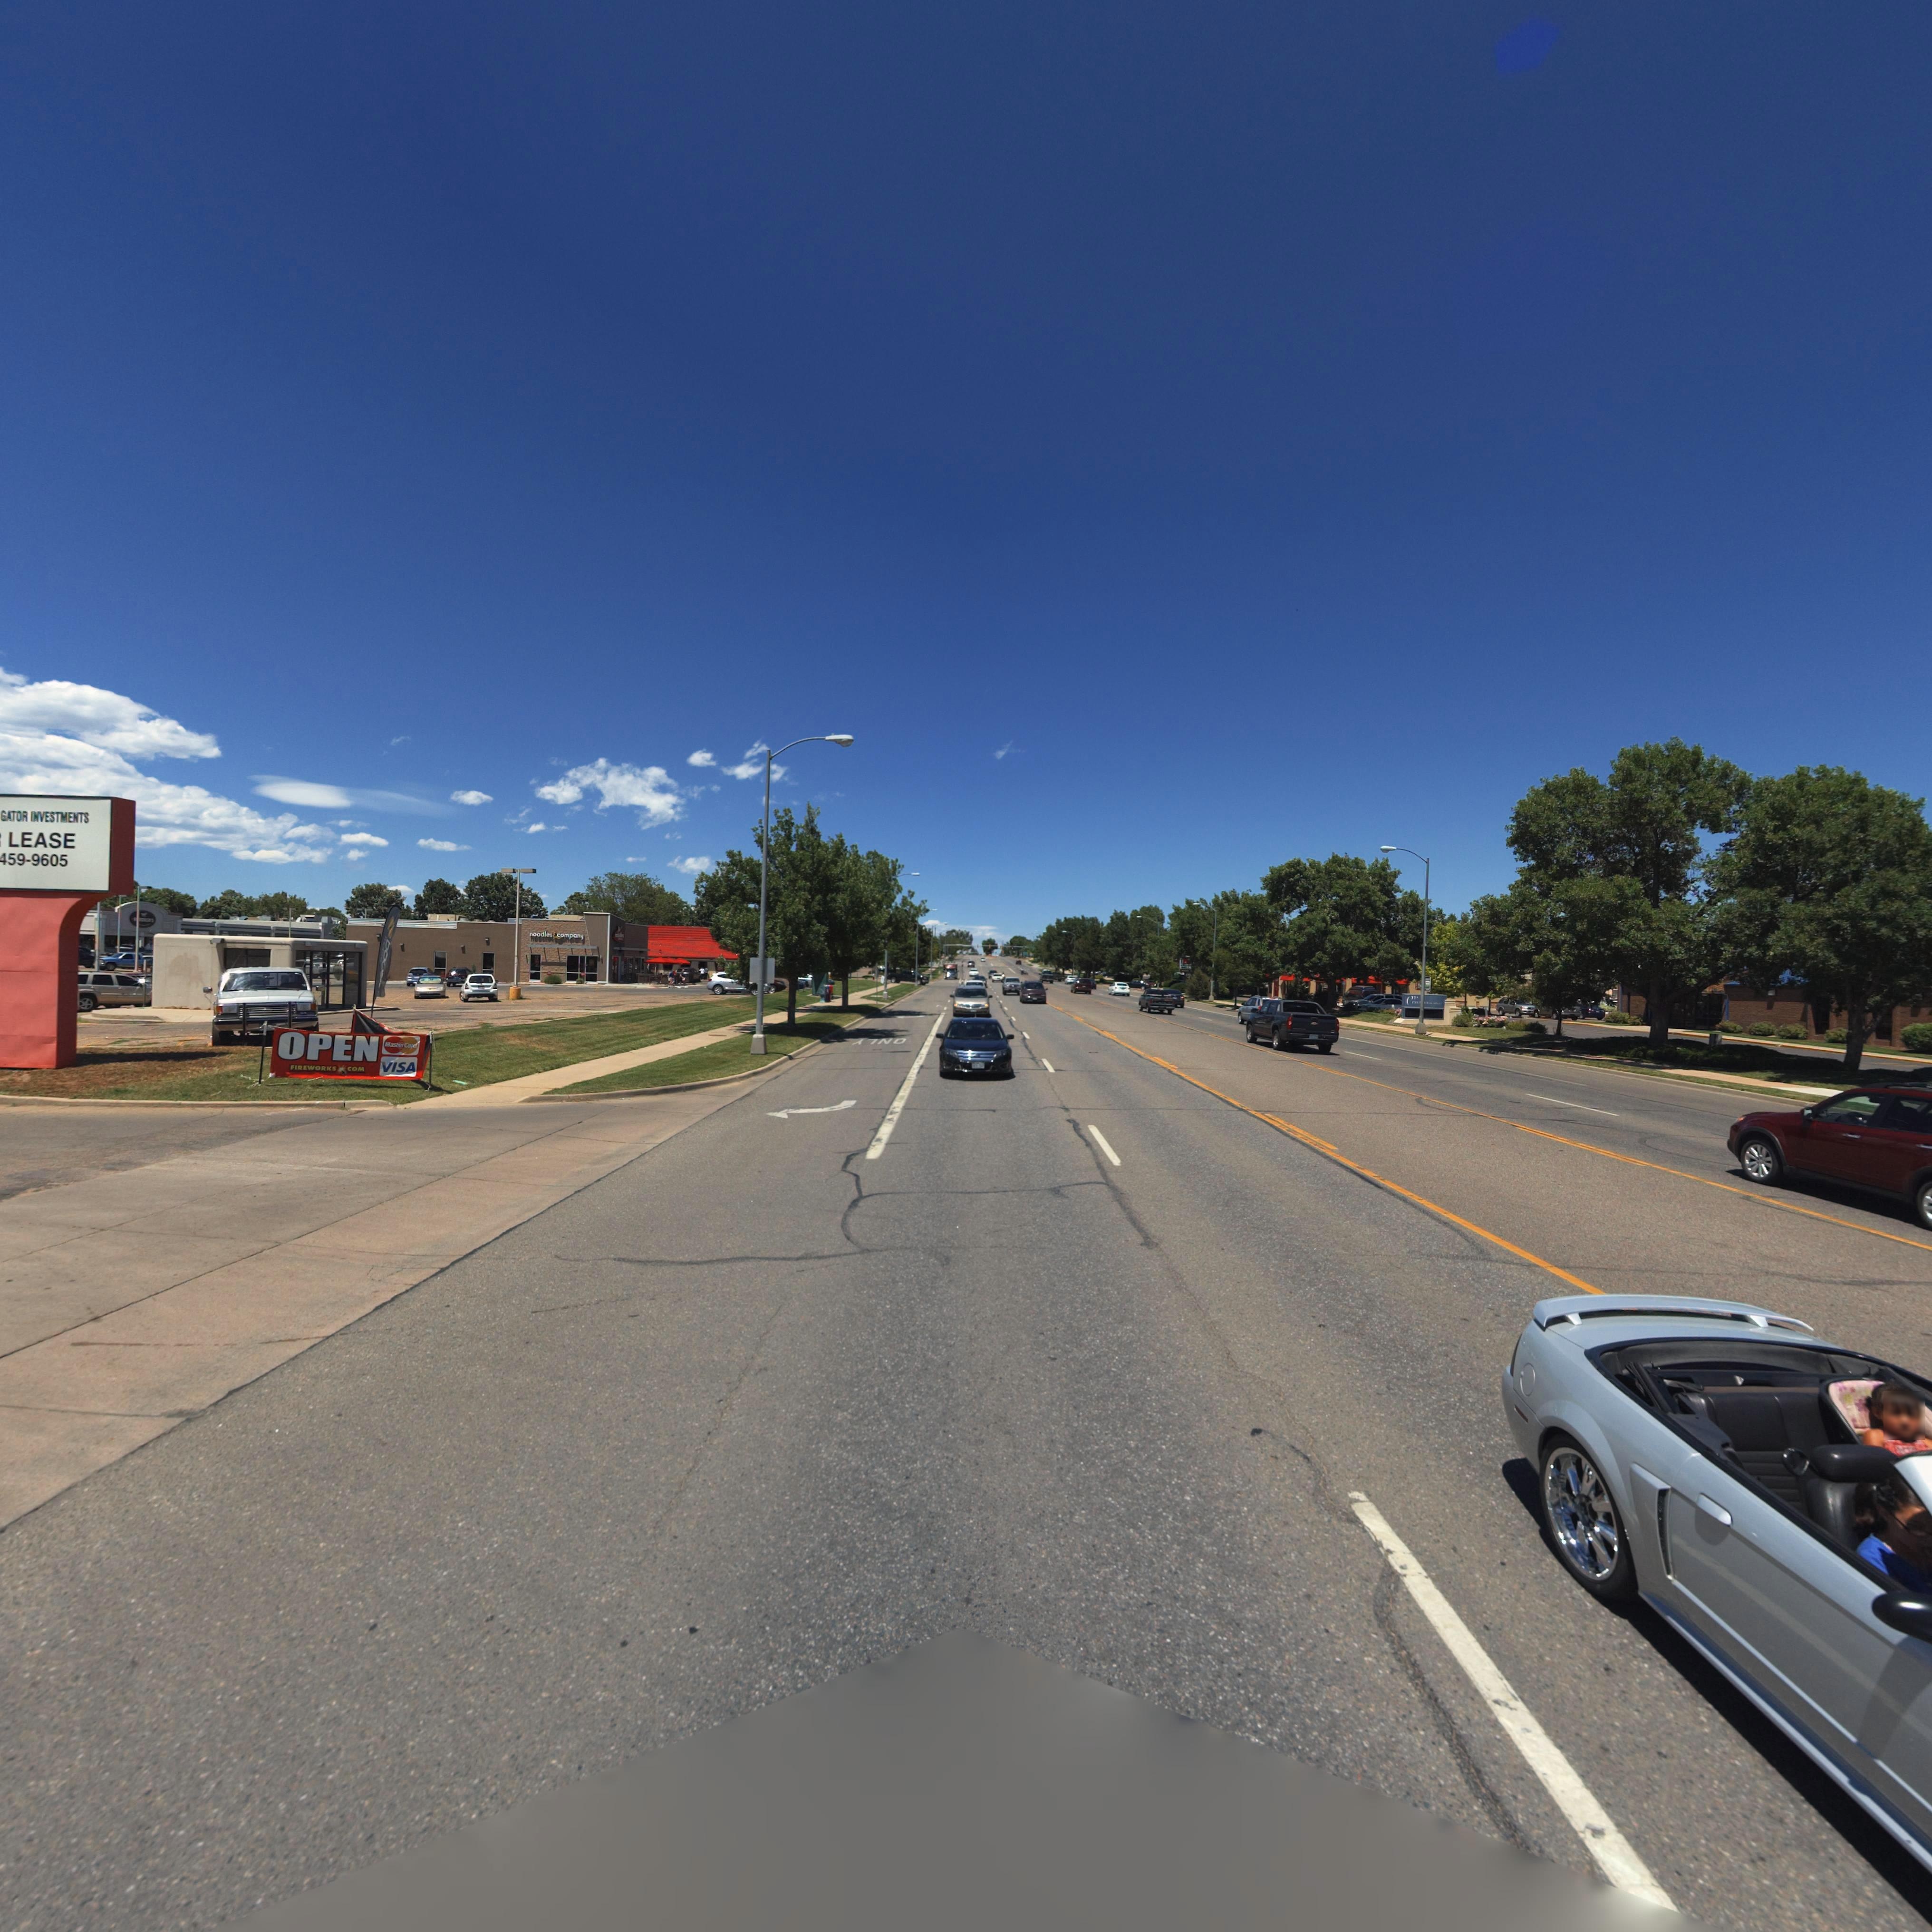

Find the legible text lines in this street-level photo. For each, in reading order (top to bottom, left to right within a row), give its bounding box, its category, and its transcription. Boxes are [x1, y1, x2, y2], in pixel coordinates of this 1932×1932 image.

[529, 930, 583, 940] BusinessName: noodl*s*comp**y